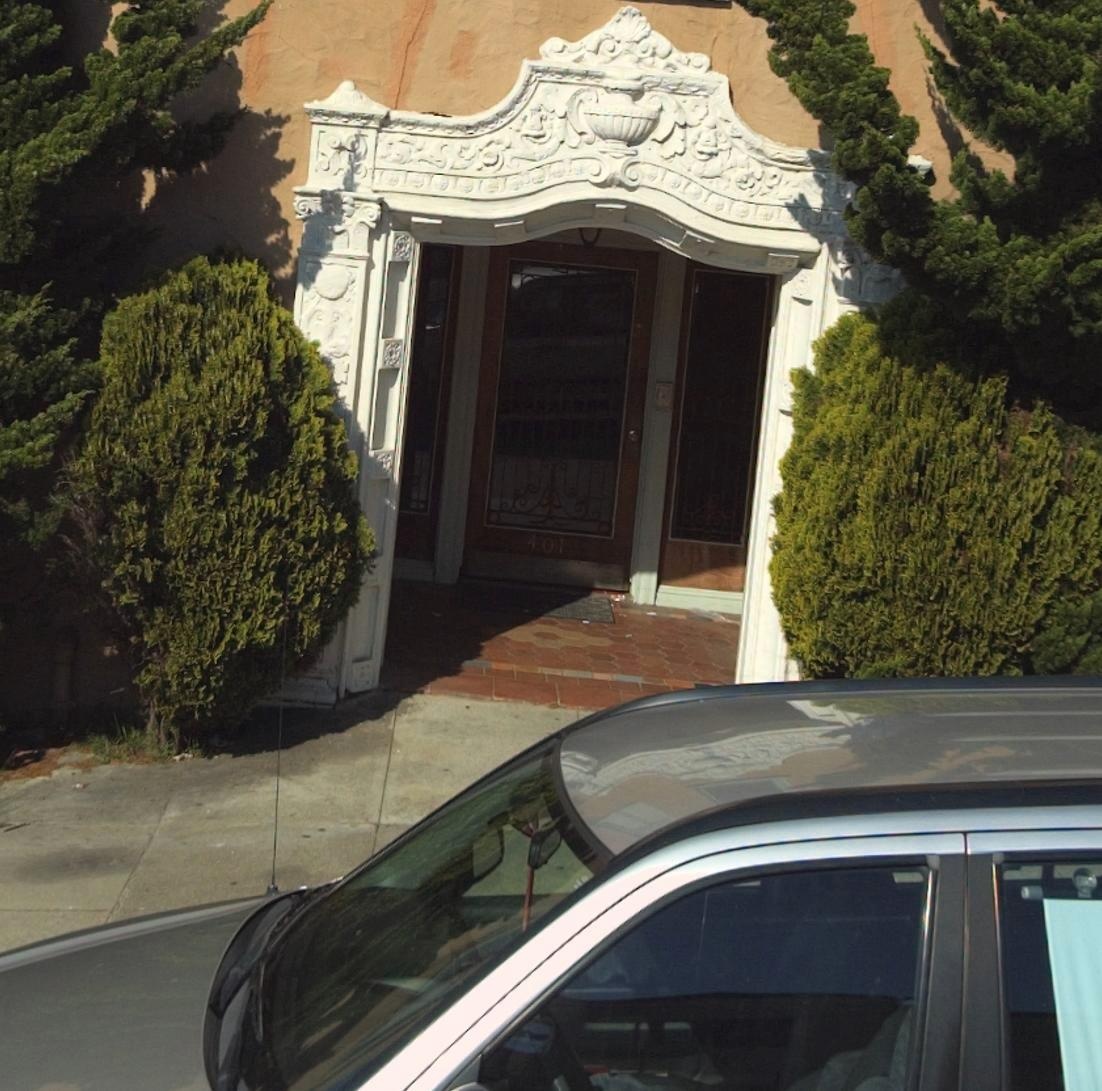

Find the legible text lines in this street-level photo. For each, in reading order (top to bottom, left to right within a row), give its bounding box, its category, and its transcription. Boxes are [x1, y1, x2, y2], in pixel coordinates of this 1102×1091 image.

[523, 530, 567, 557] StreetNumber: 401